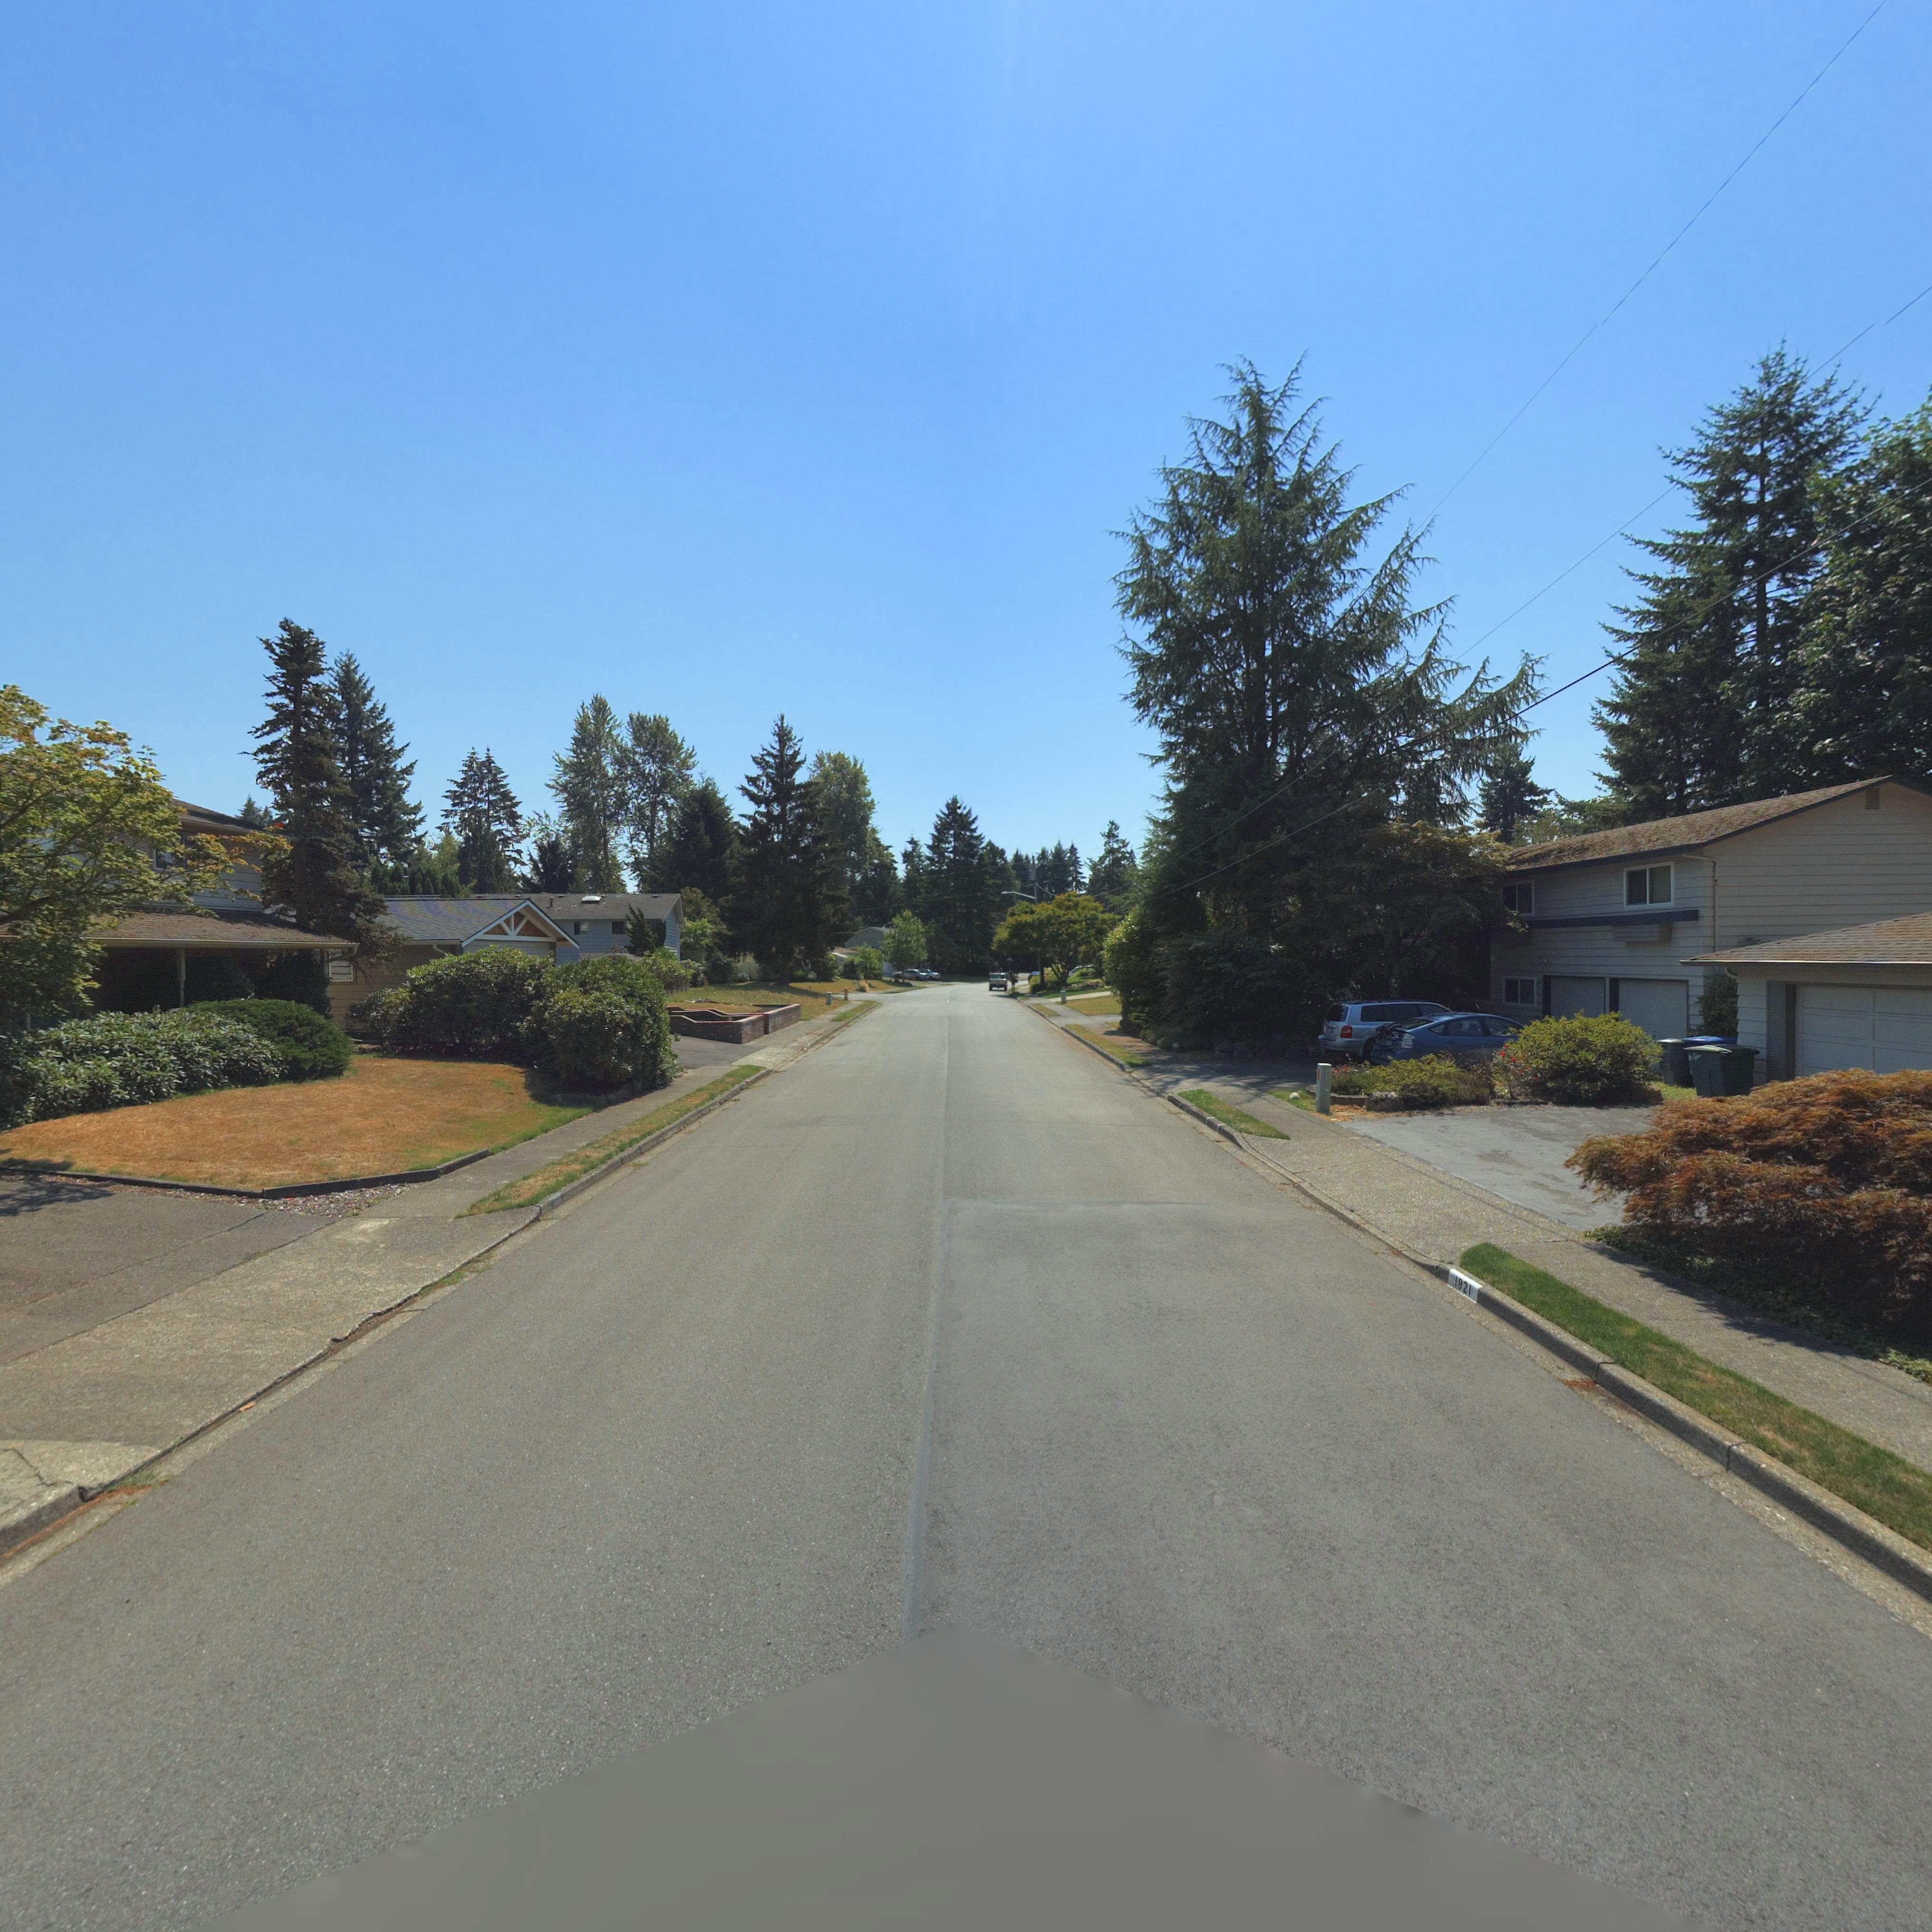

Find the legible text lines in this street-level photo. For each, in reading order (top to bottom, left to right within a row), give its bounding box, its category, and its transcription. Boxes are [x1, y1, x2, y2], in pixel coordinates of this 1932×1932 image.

[1453, 1275, 1472, 1296] StreetNumber: 1821